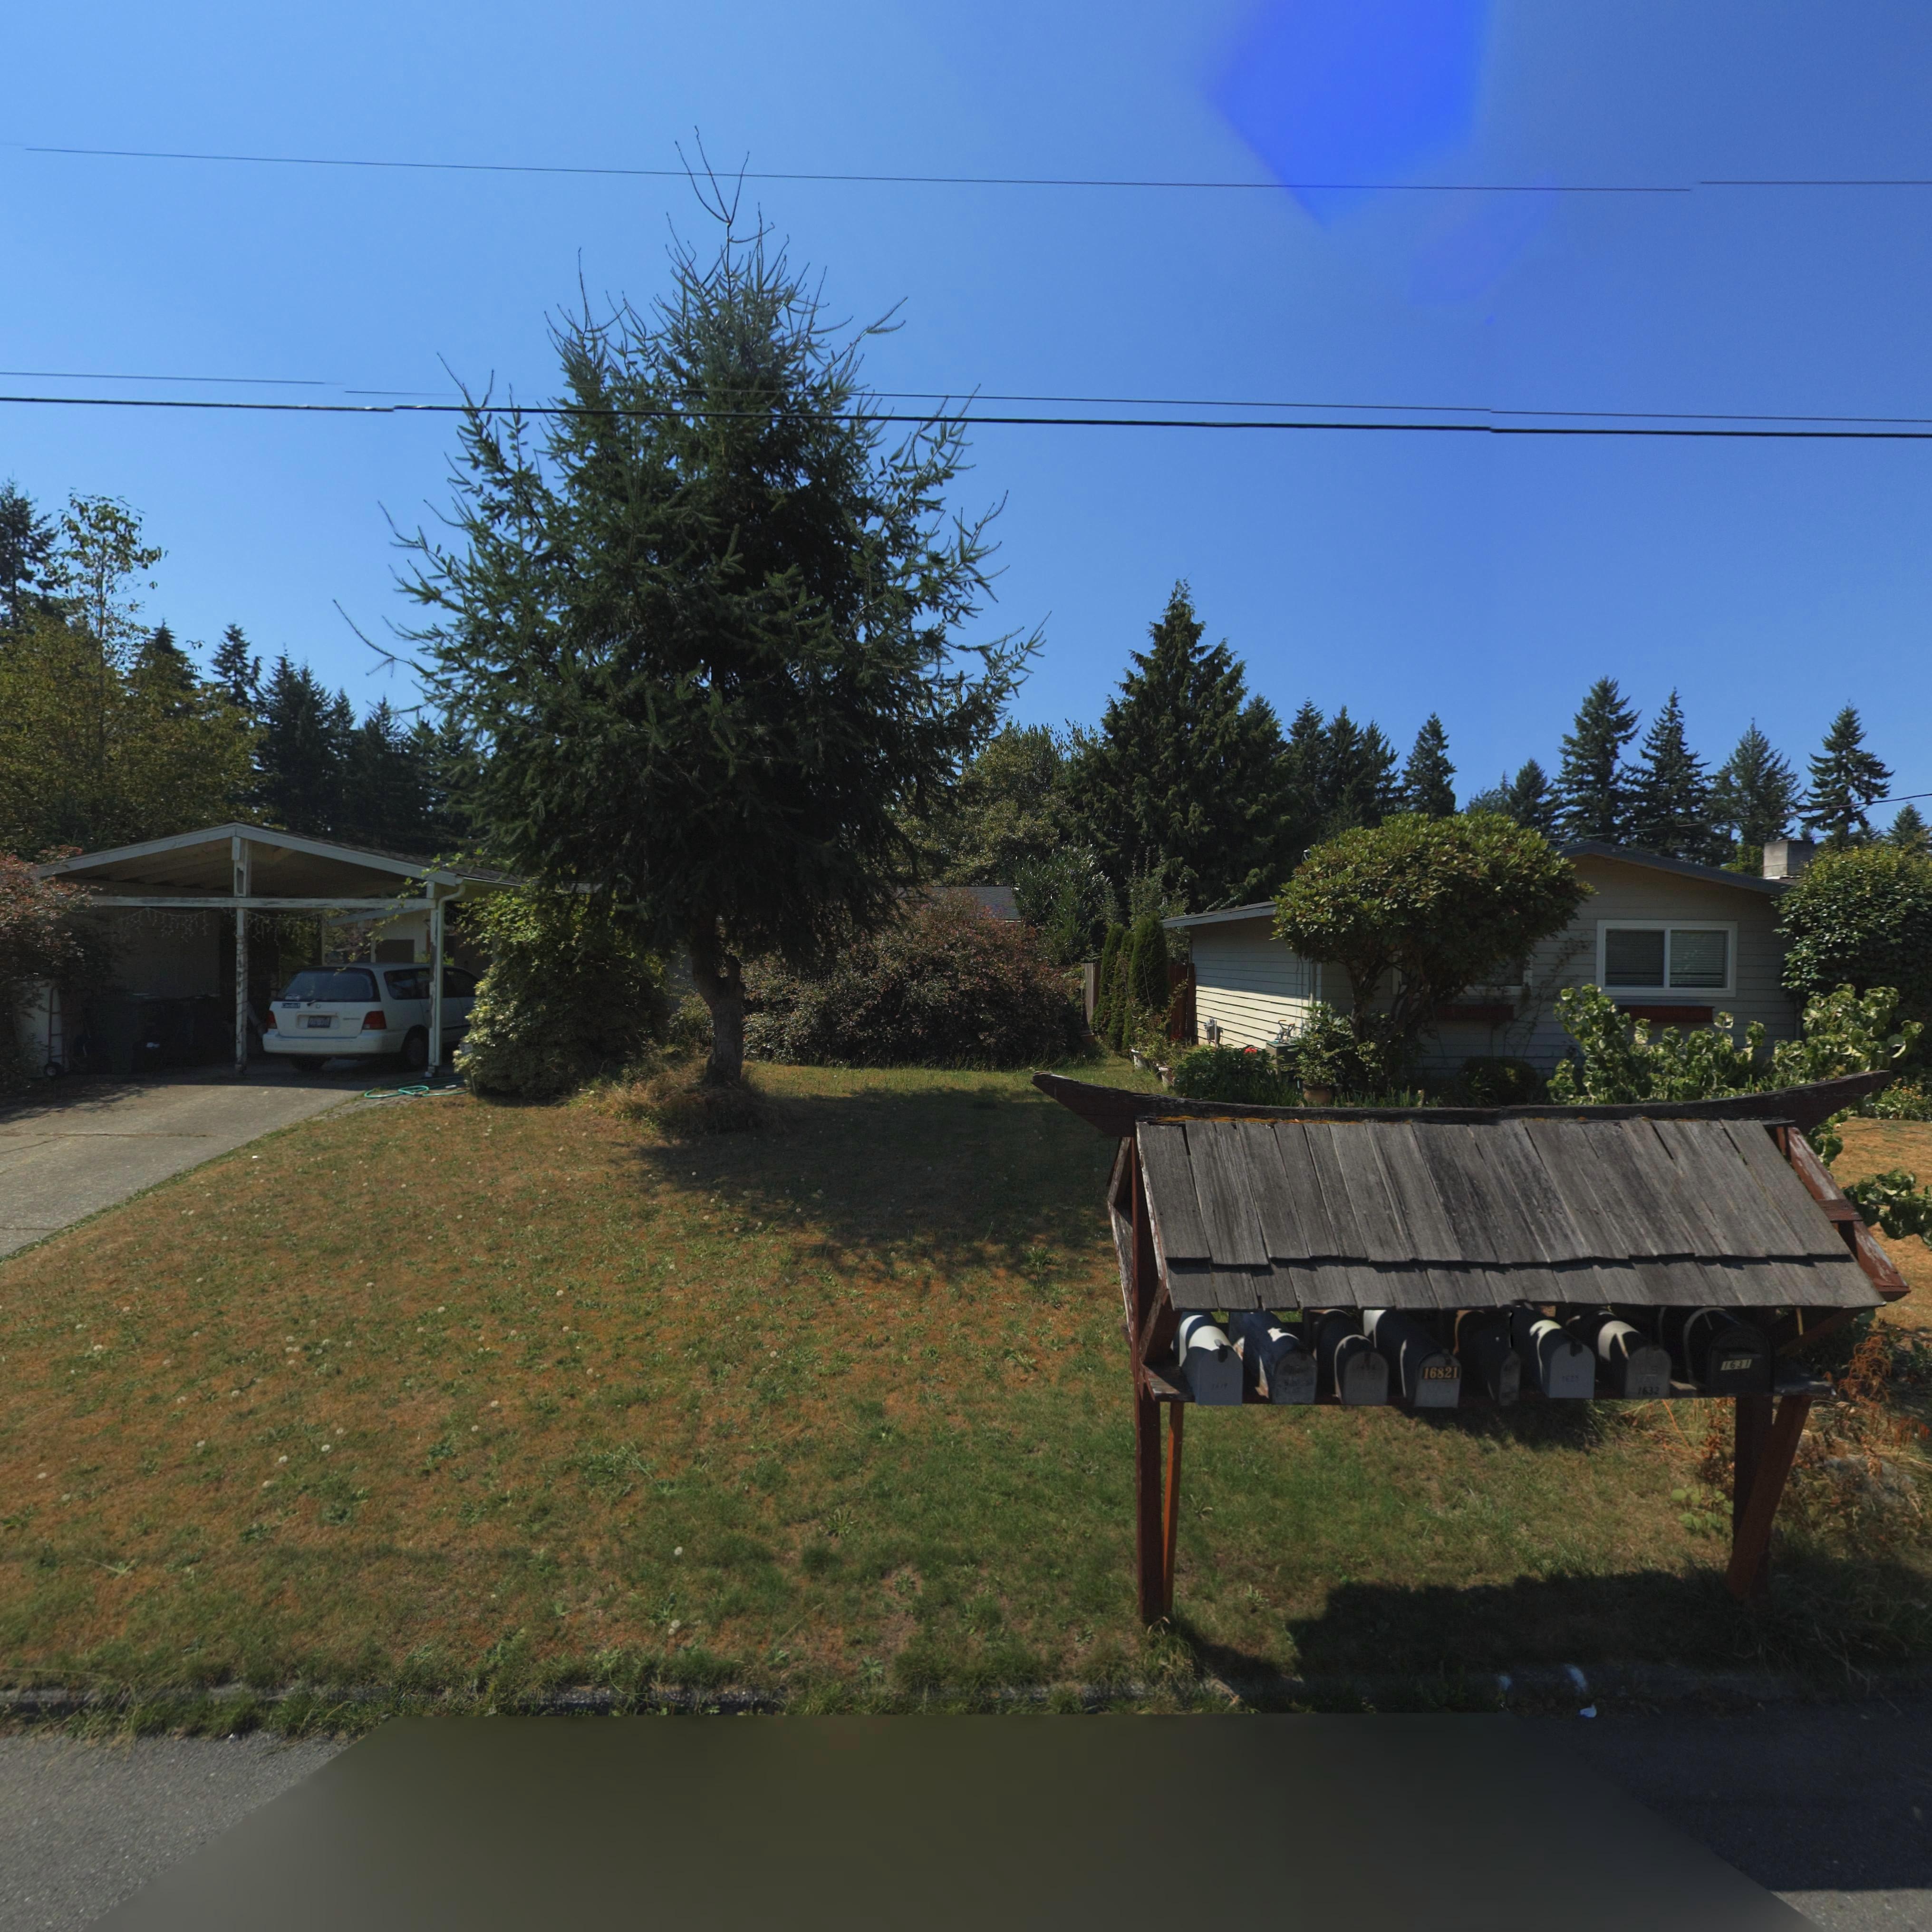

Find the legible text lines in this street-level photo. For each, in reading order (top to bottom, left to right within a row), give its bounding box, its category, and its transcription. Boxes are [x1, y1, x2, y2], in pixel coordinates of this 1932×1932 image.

[1719, 1358, 1751, 1371] StreetNumber: 1631
[1421, 1365, 1459, 1380] StreetNumber: 16821
[1636, 1385, 1661, 1396] StreetNumber: 1632